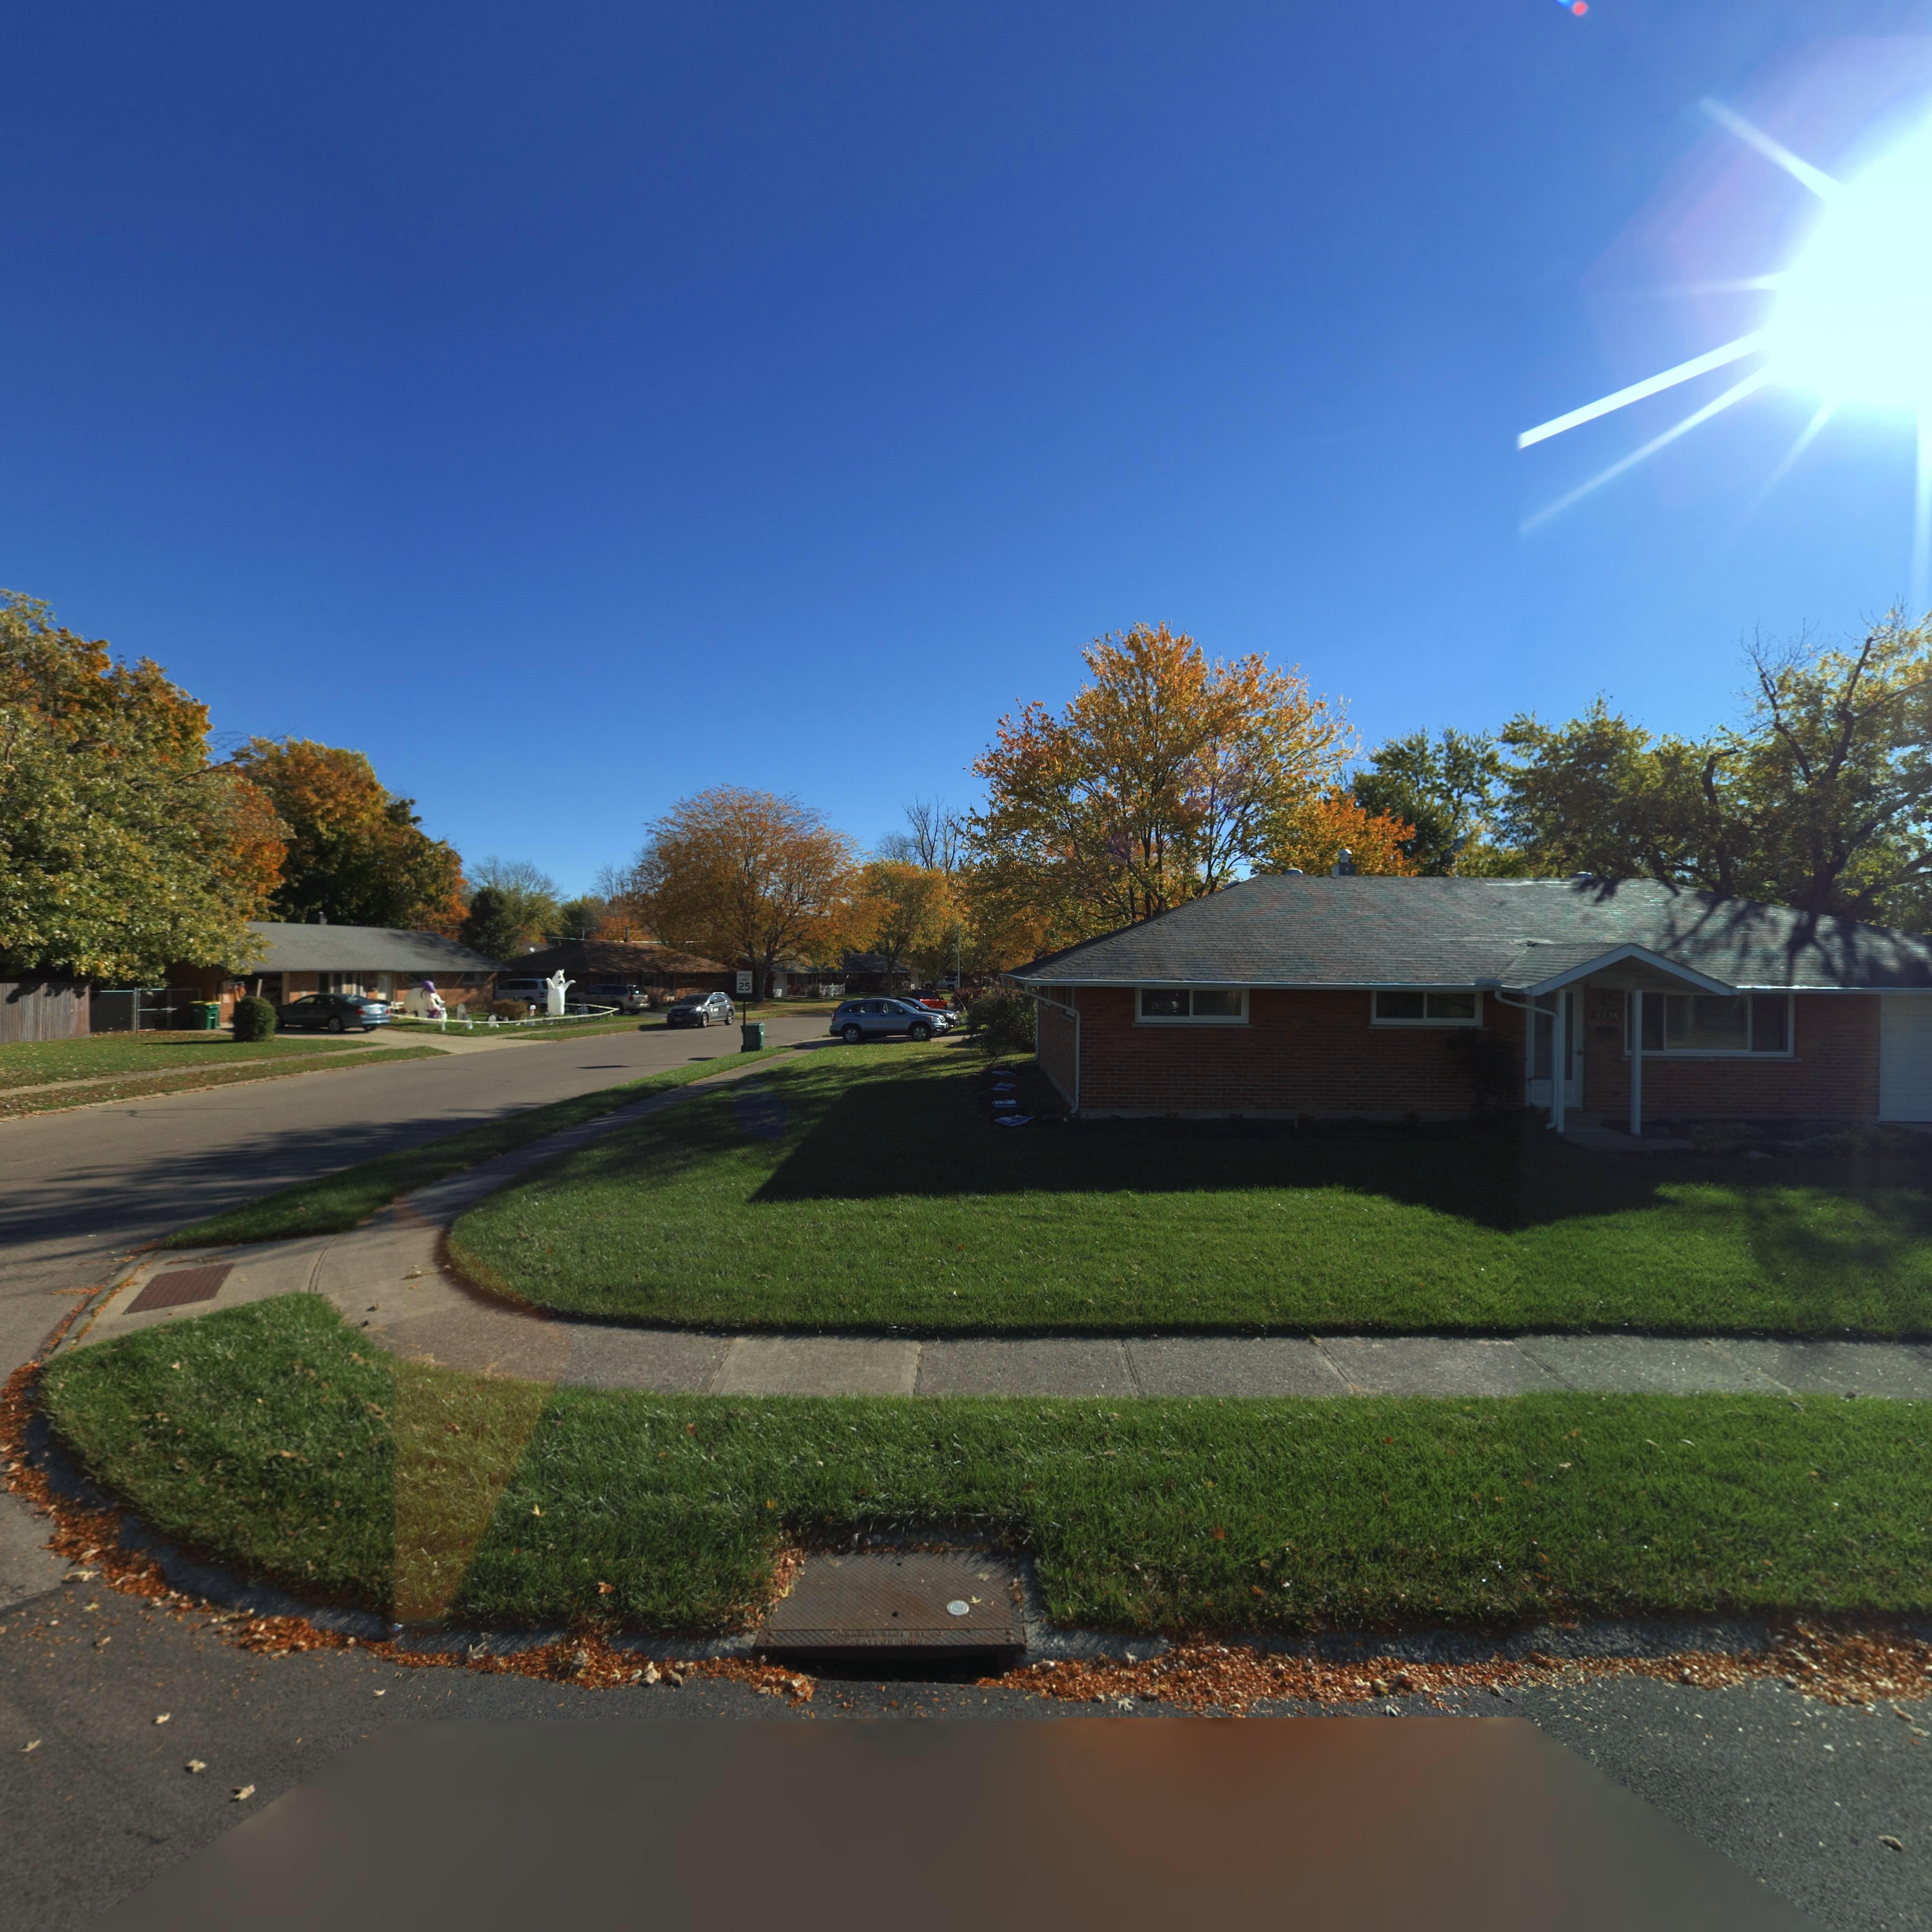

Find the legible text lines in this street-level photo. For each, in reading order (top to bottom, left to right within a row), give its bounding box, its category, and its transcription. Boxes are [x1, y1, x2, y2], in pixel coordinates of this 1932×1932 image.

[1595, 1010, 1618, 1018] StreetNumber: 4735